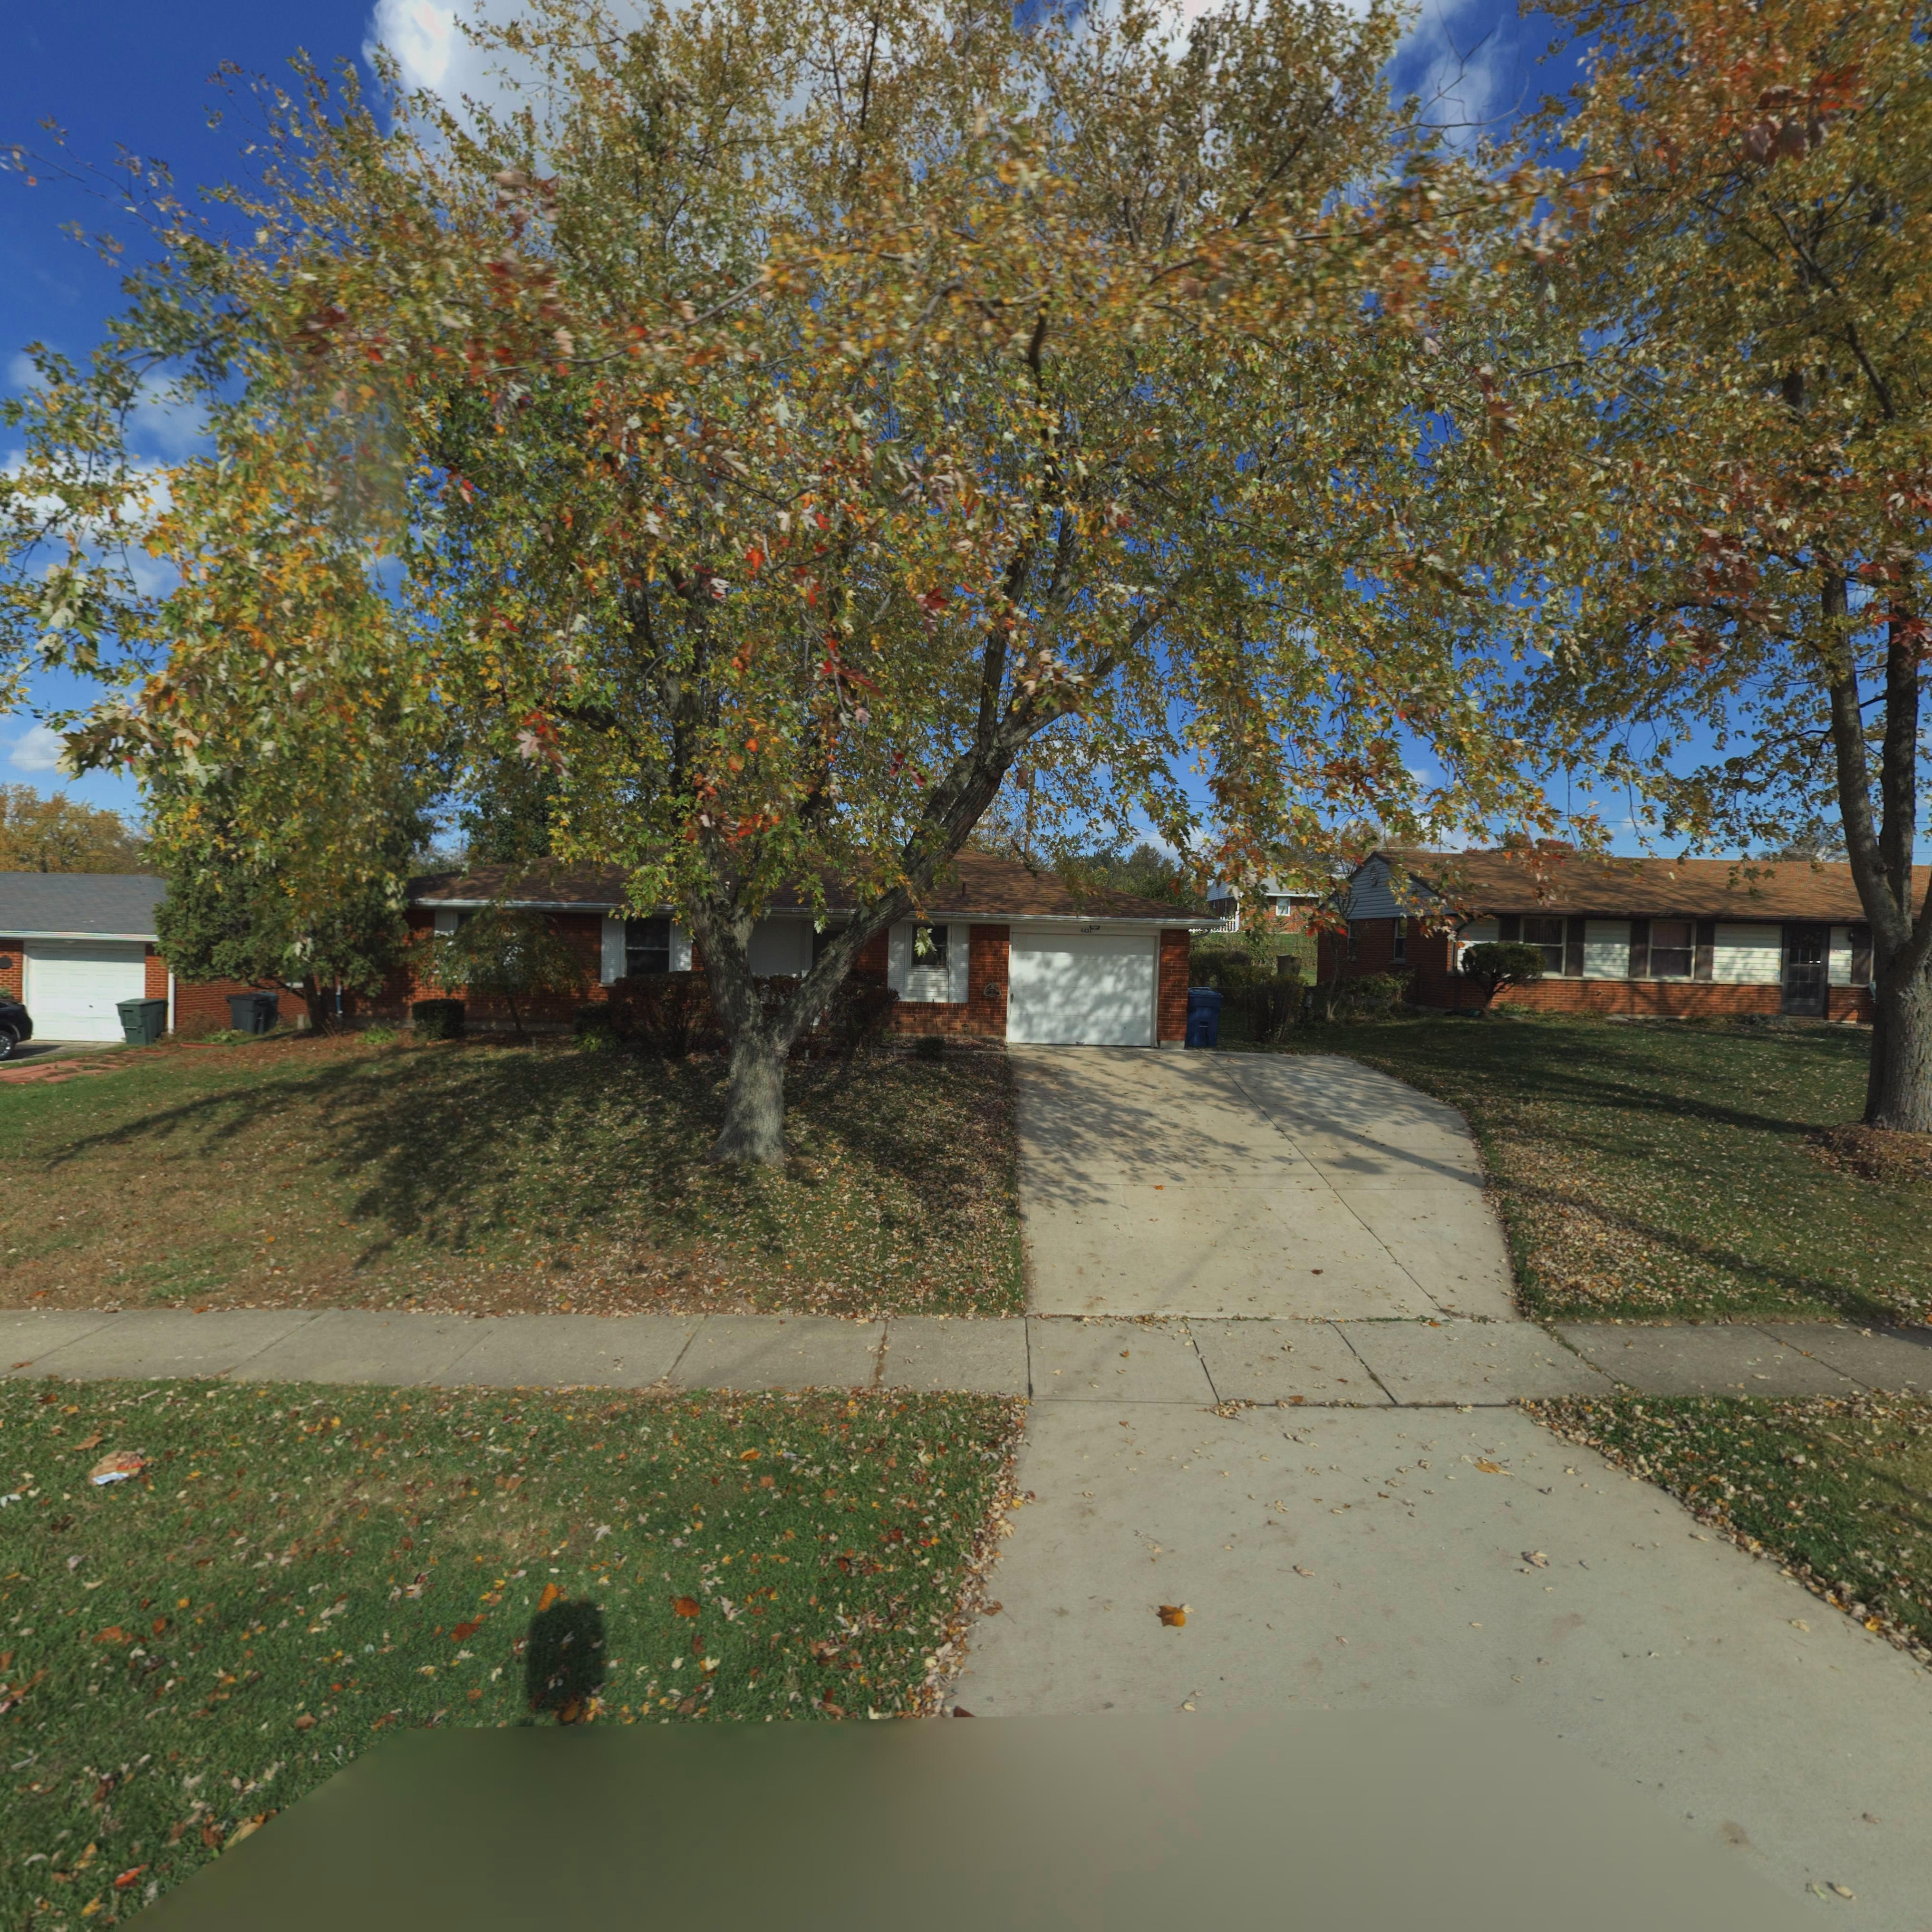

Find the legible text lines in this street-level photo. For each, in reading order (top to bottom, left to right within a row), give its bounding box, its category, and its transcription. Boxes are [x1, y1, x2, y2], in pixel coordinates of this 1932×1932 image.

[1081, 927, 1092, 933] StreetNumber: 6431
[1832, 948, 1846, 954] StreetNumber: 6*07